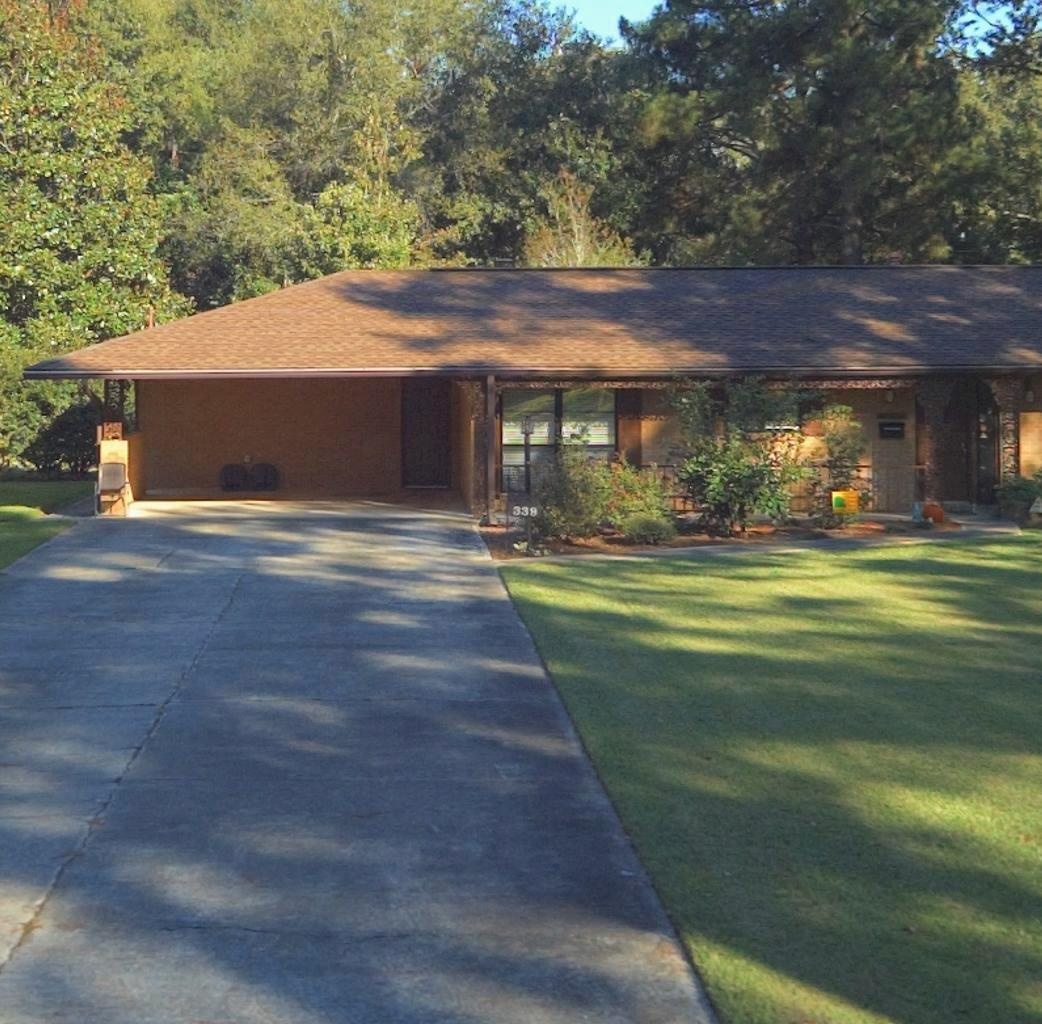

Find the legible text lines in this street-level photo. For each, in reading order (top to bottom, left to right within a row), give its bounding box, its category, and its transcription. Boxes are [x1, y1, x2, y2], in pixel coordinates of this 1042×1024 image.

[512, 505, 538, 517] StreetNumber: 339